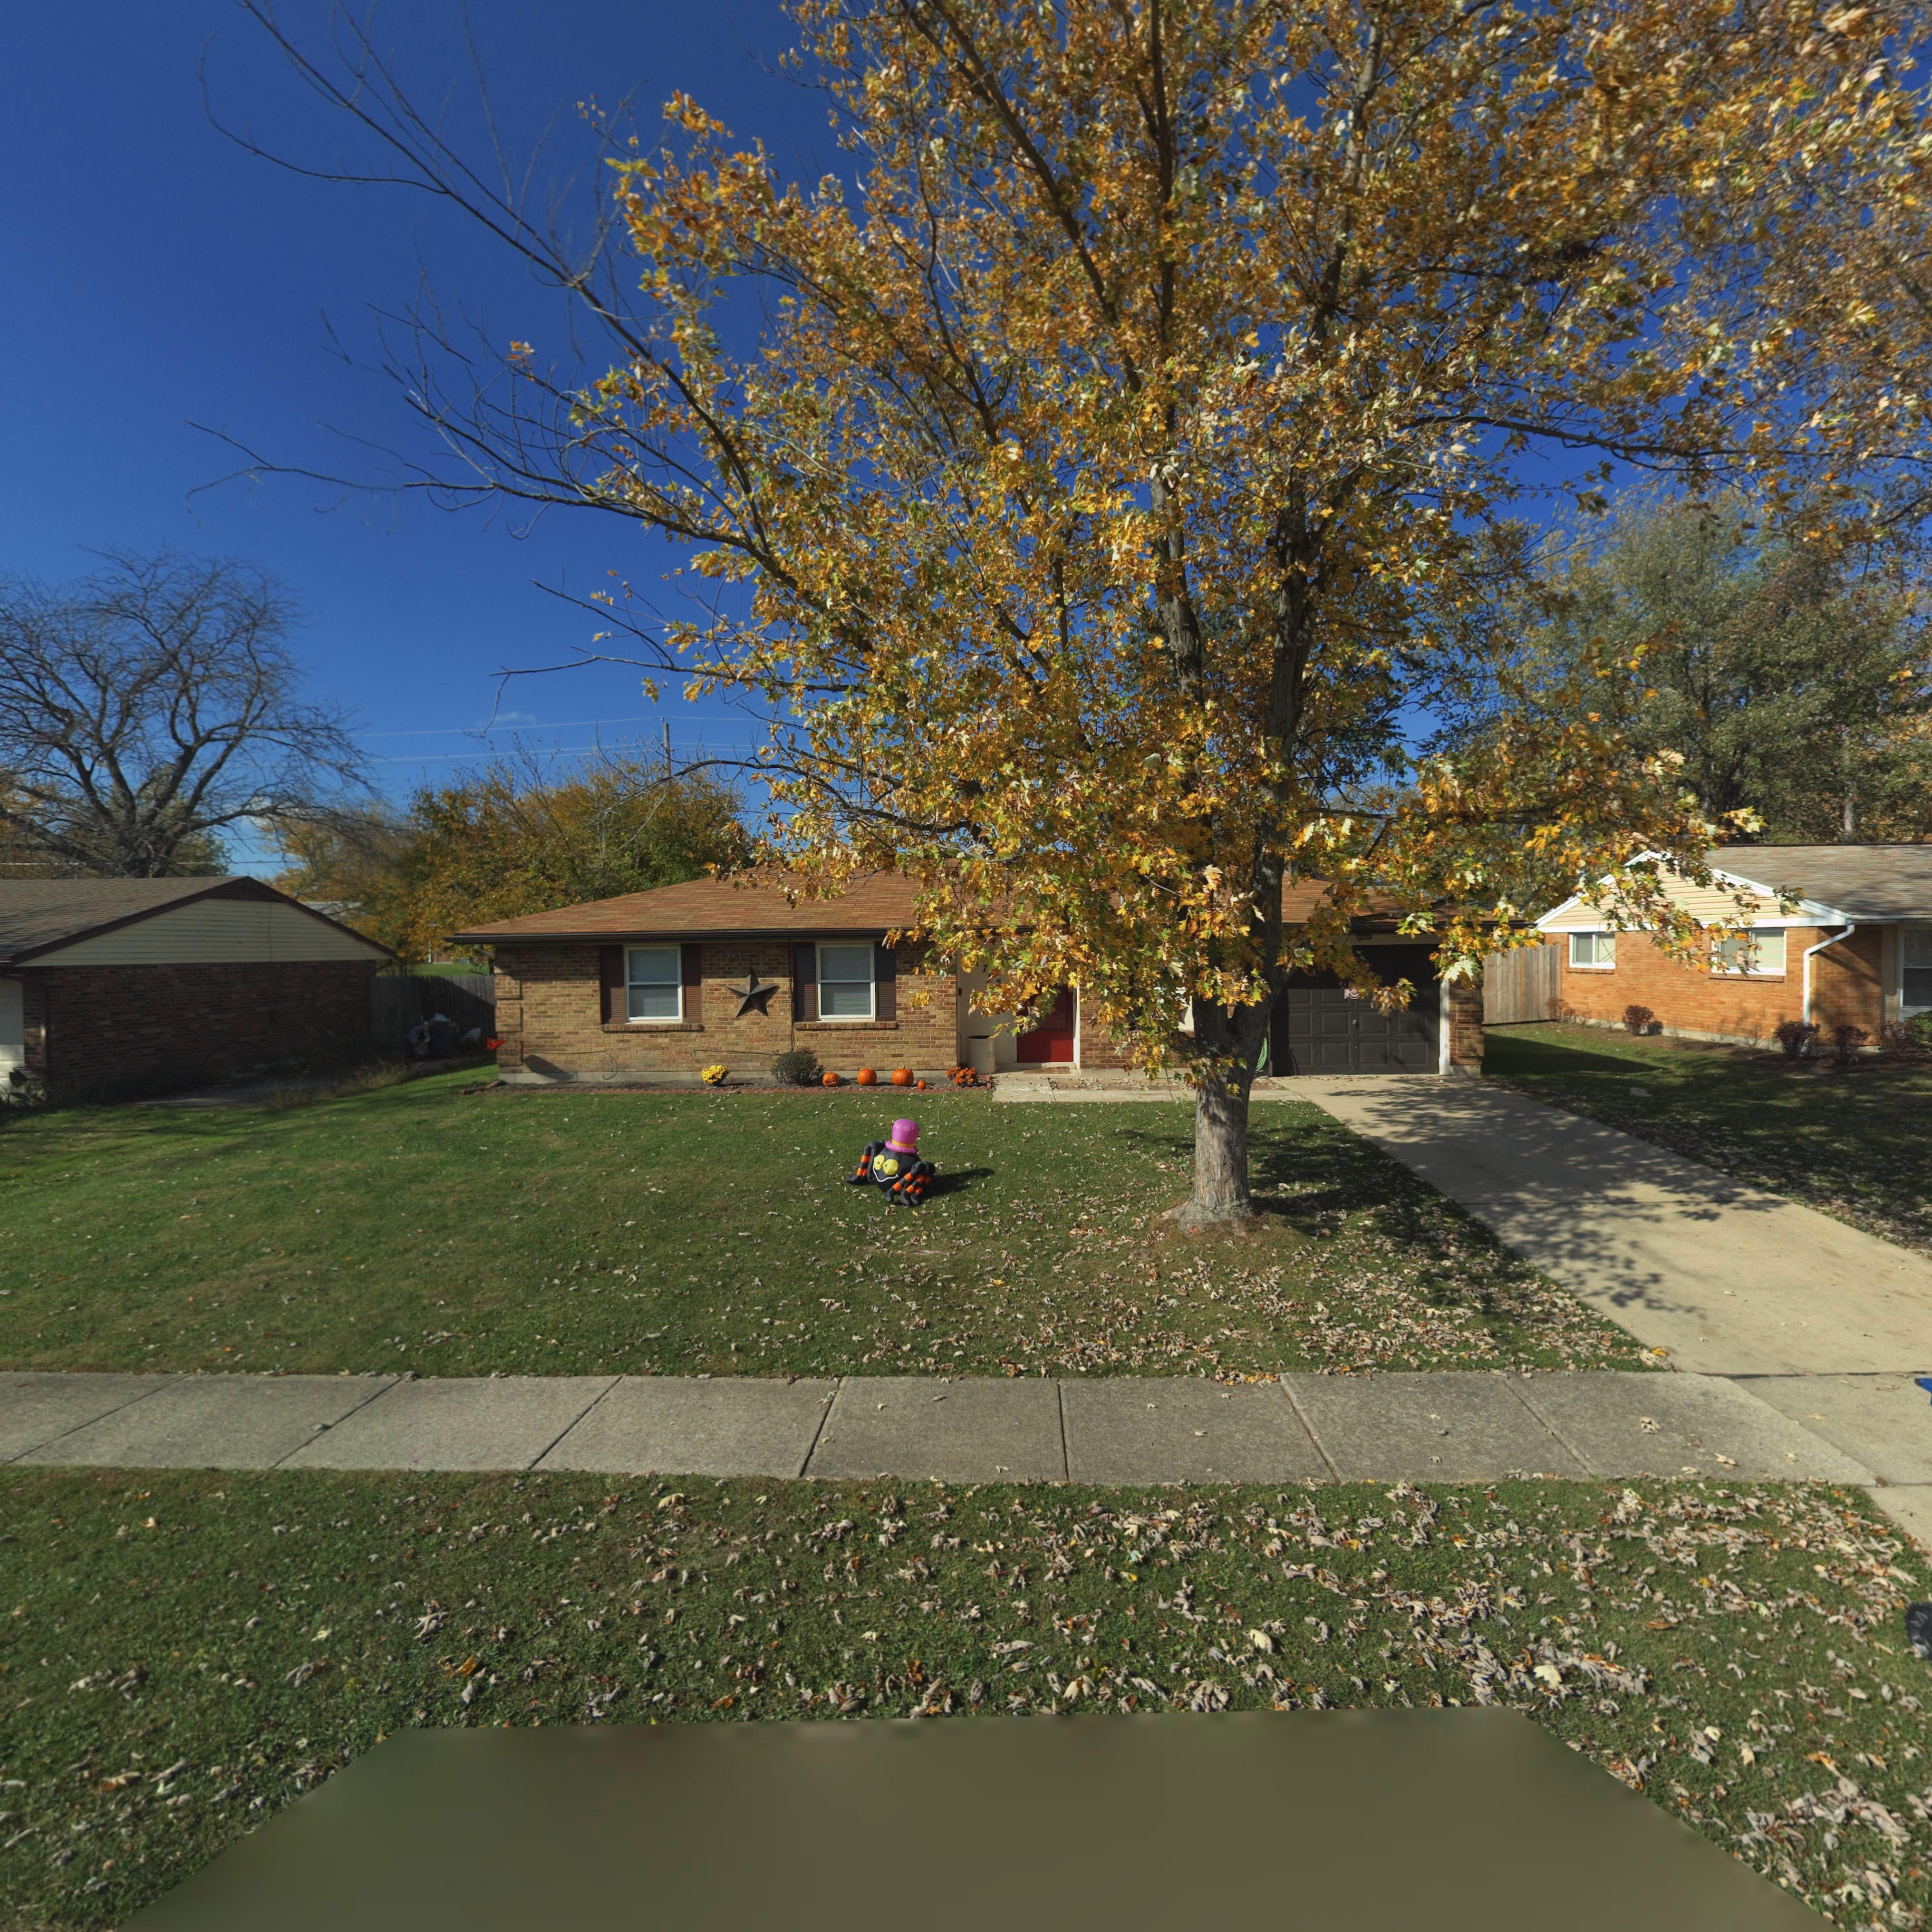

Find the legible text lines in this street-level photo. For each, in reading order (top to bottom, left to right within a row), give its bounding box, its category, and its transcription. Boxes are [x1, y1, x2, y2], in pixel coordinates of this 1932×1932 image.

[982, 963, 1003, 988] StreetNumber: 7**